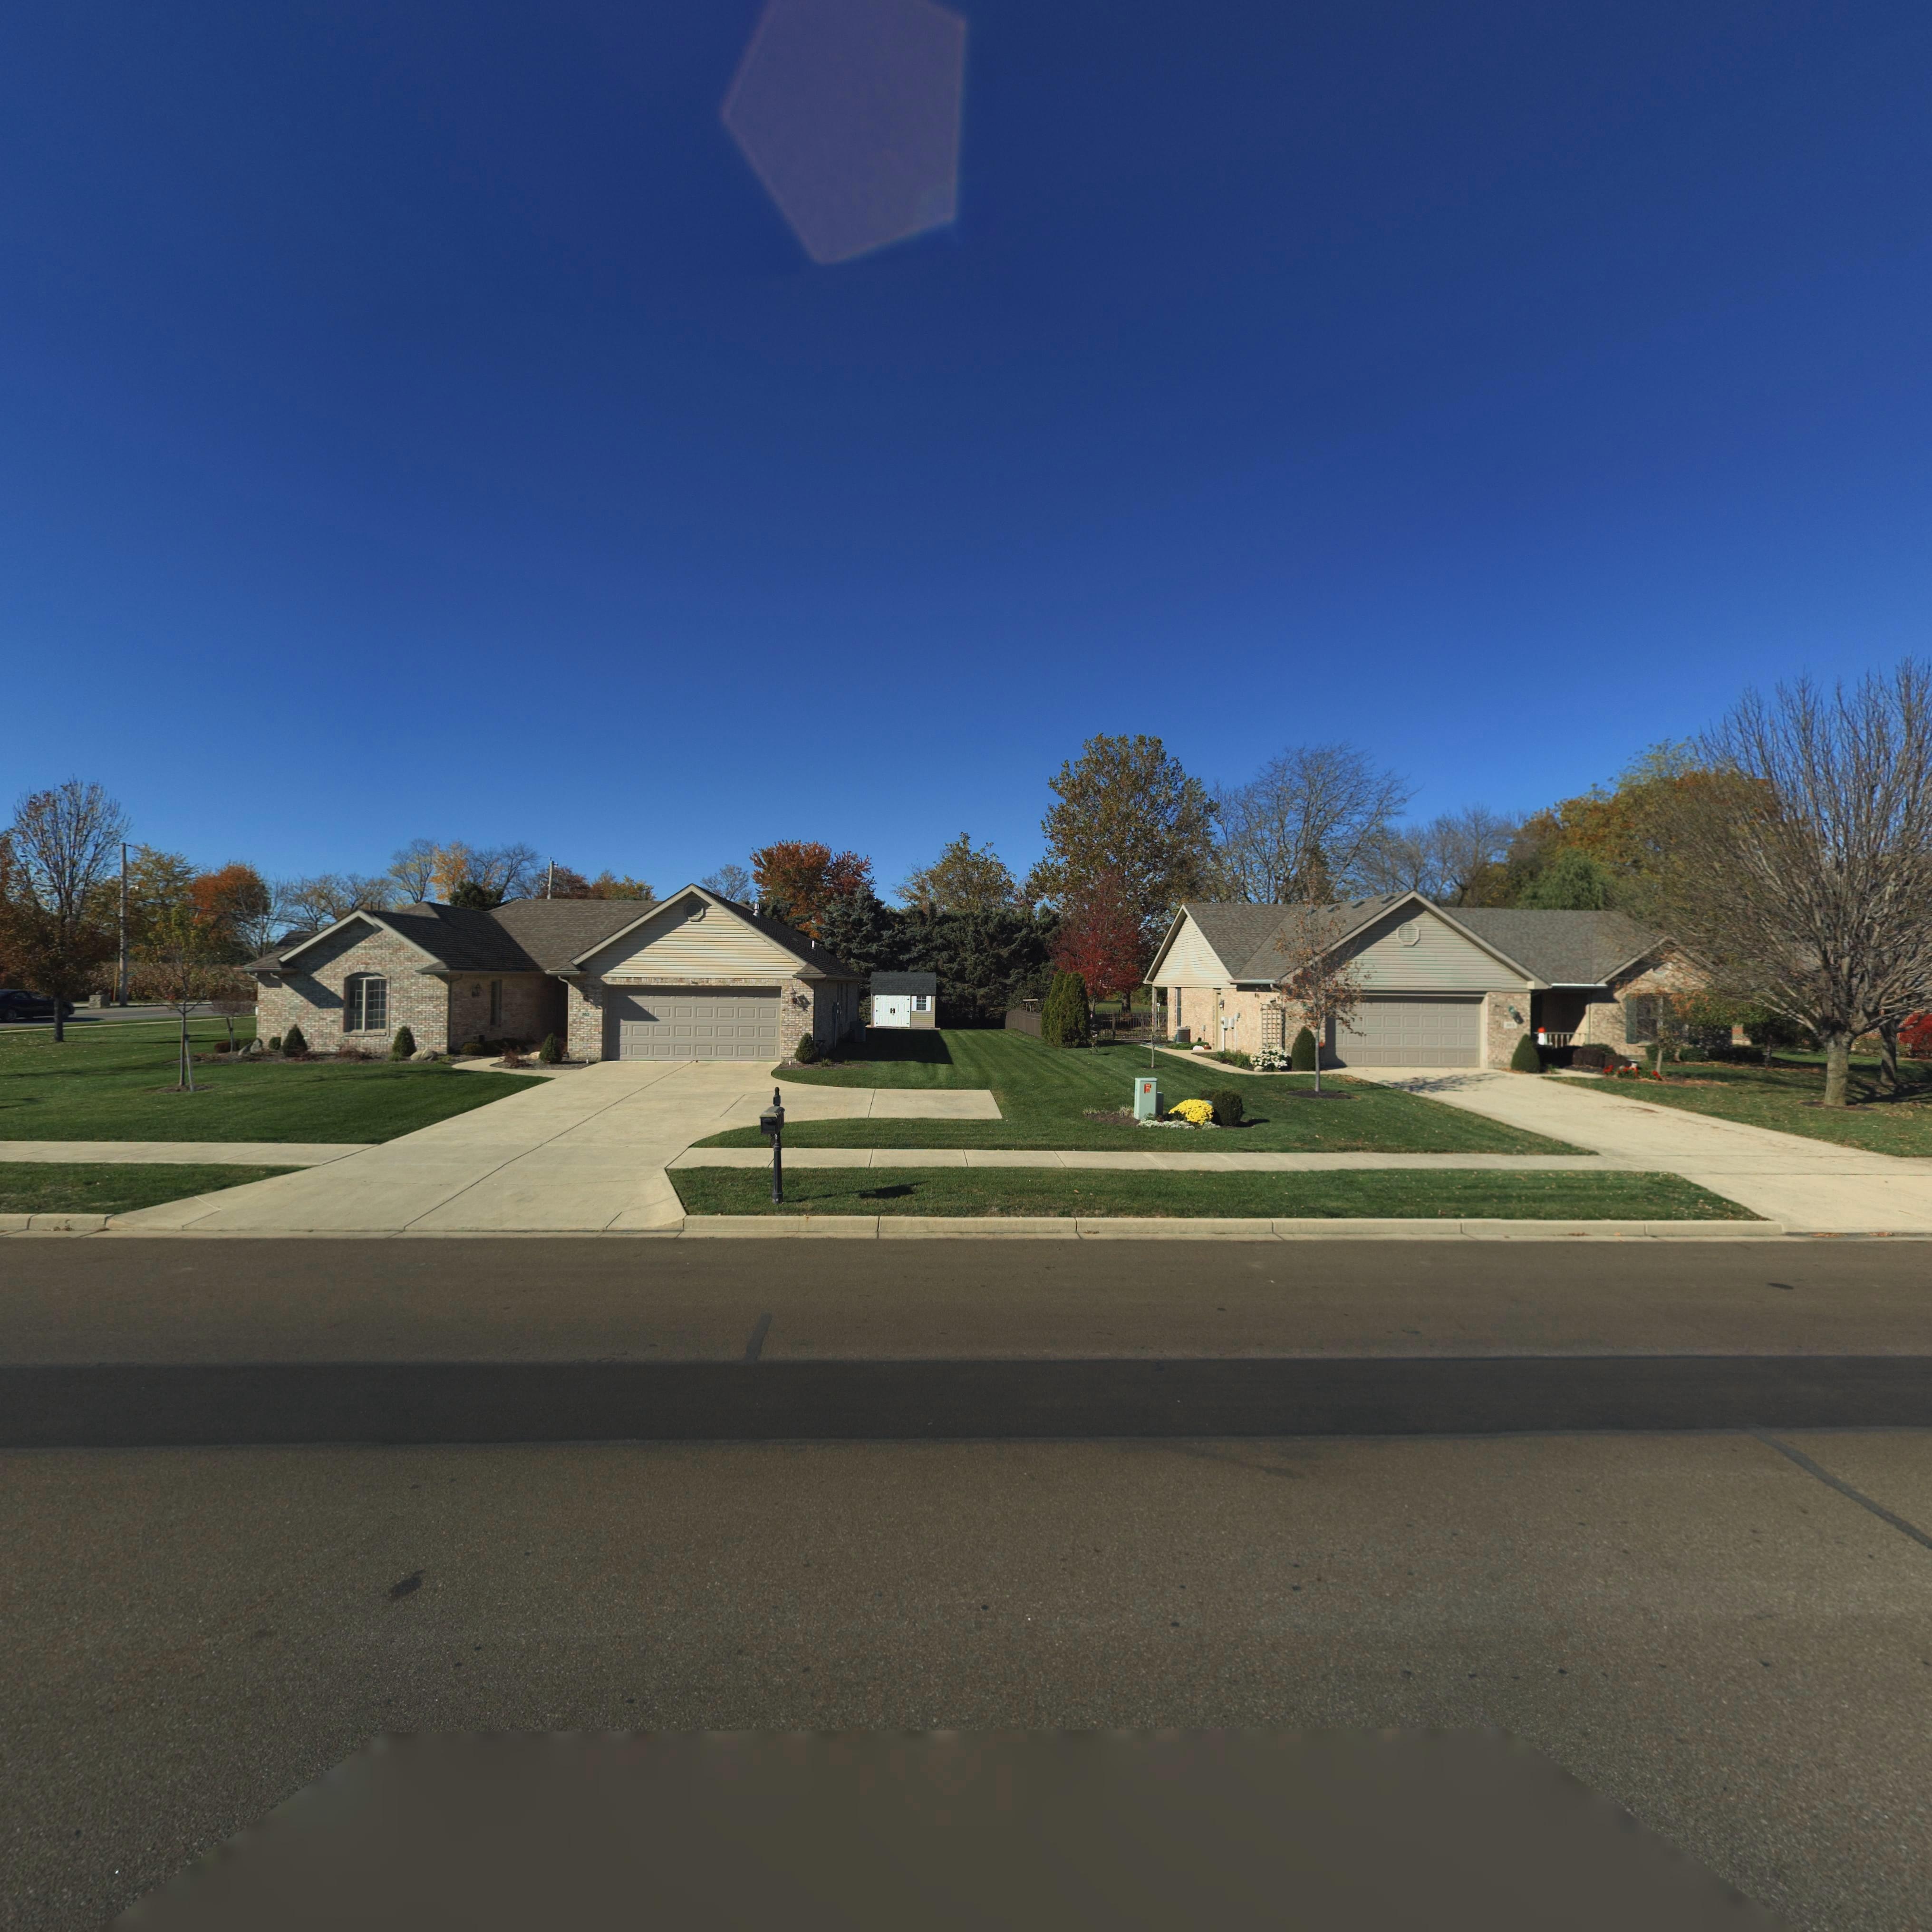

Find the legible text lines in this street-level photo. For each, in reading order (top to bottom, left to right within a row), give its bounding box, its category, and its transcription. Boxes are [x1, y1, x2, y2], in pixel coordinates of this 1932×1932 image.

[581, 1012, 590, 1016] StreetNumber: 36*